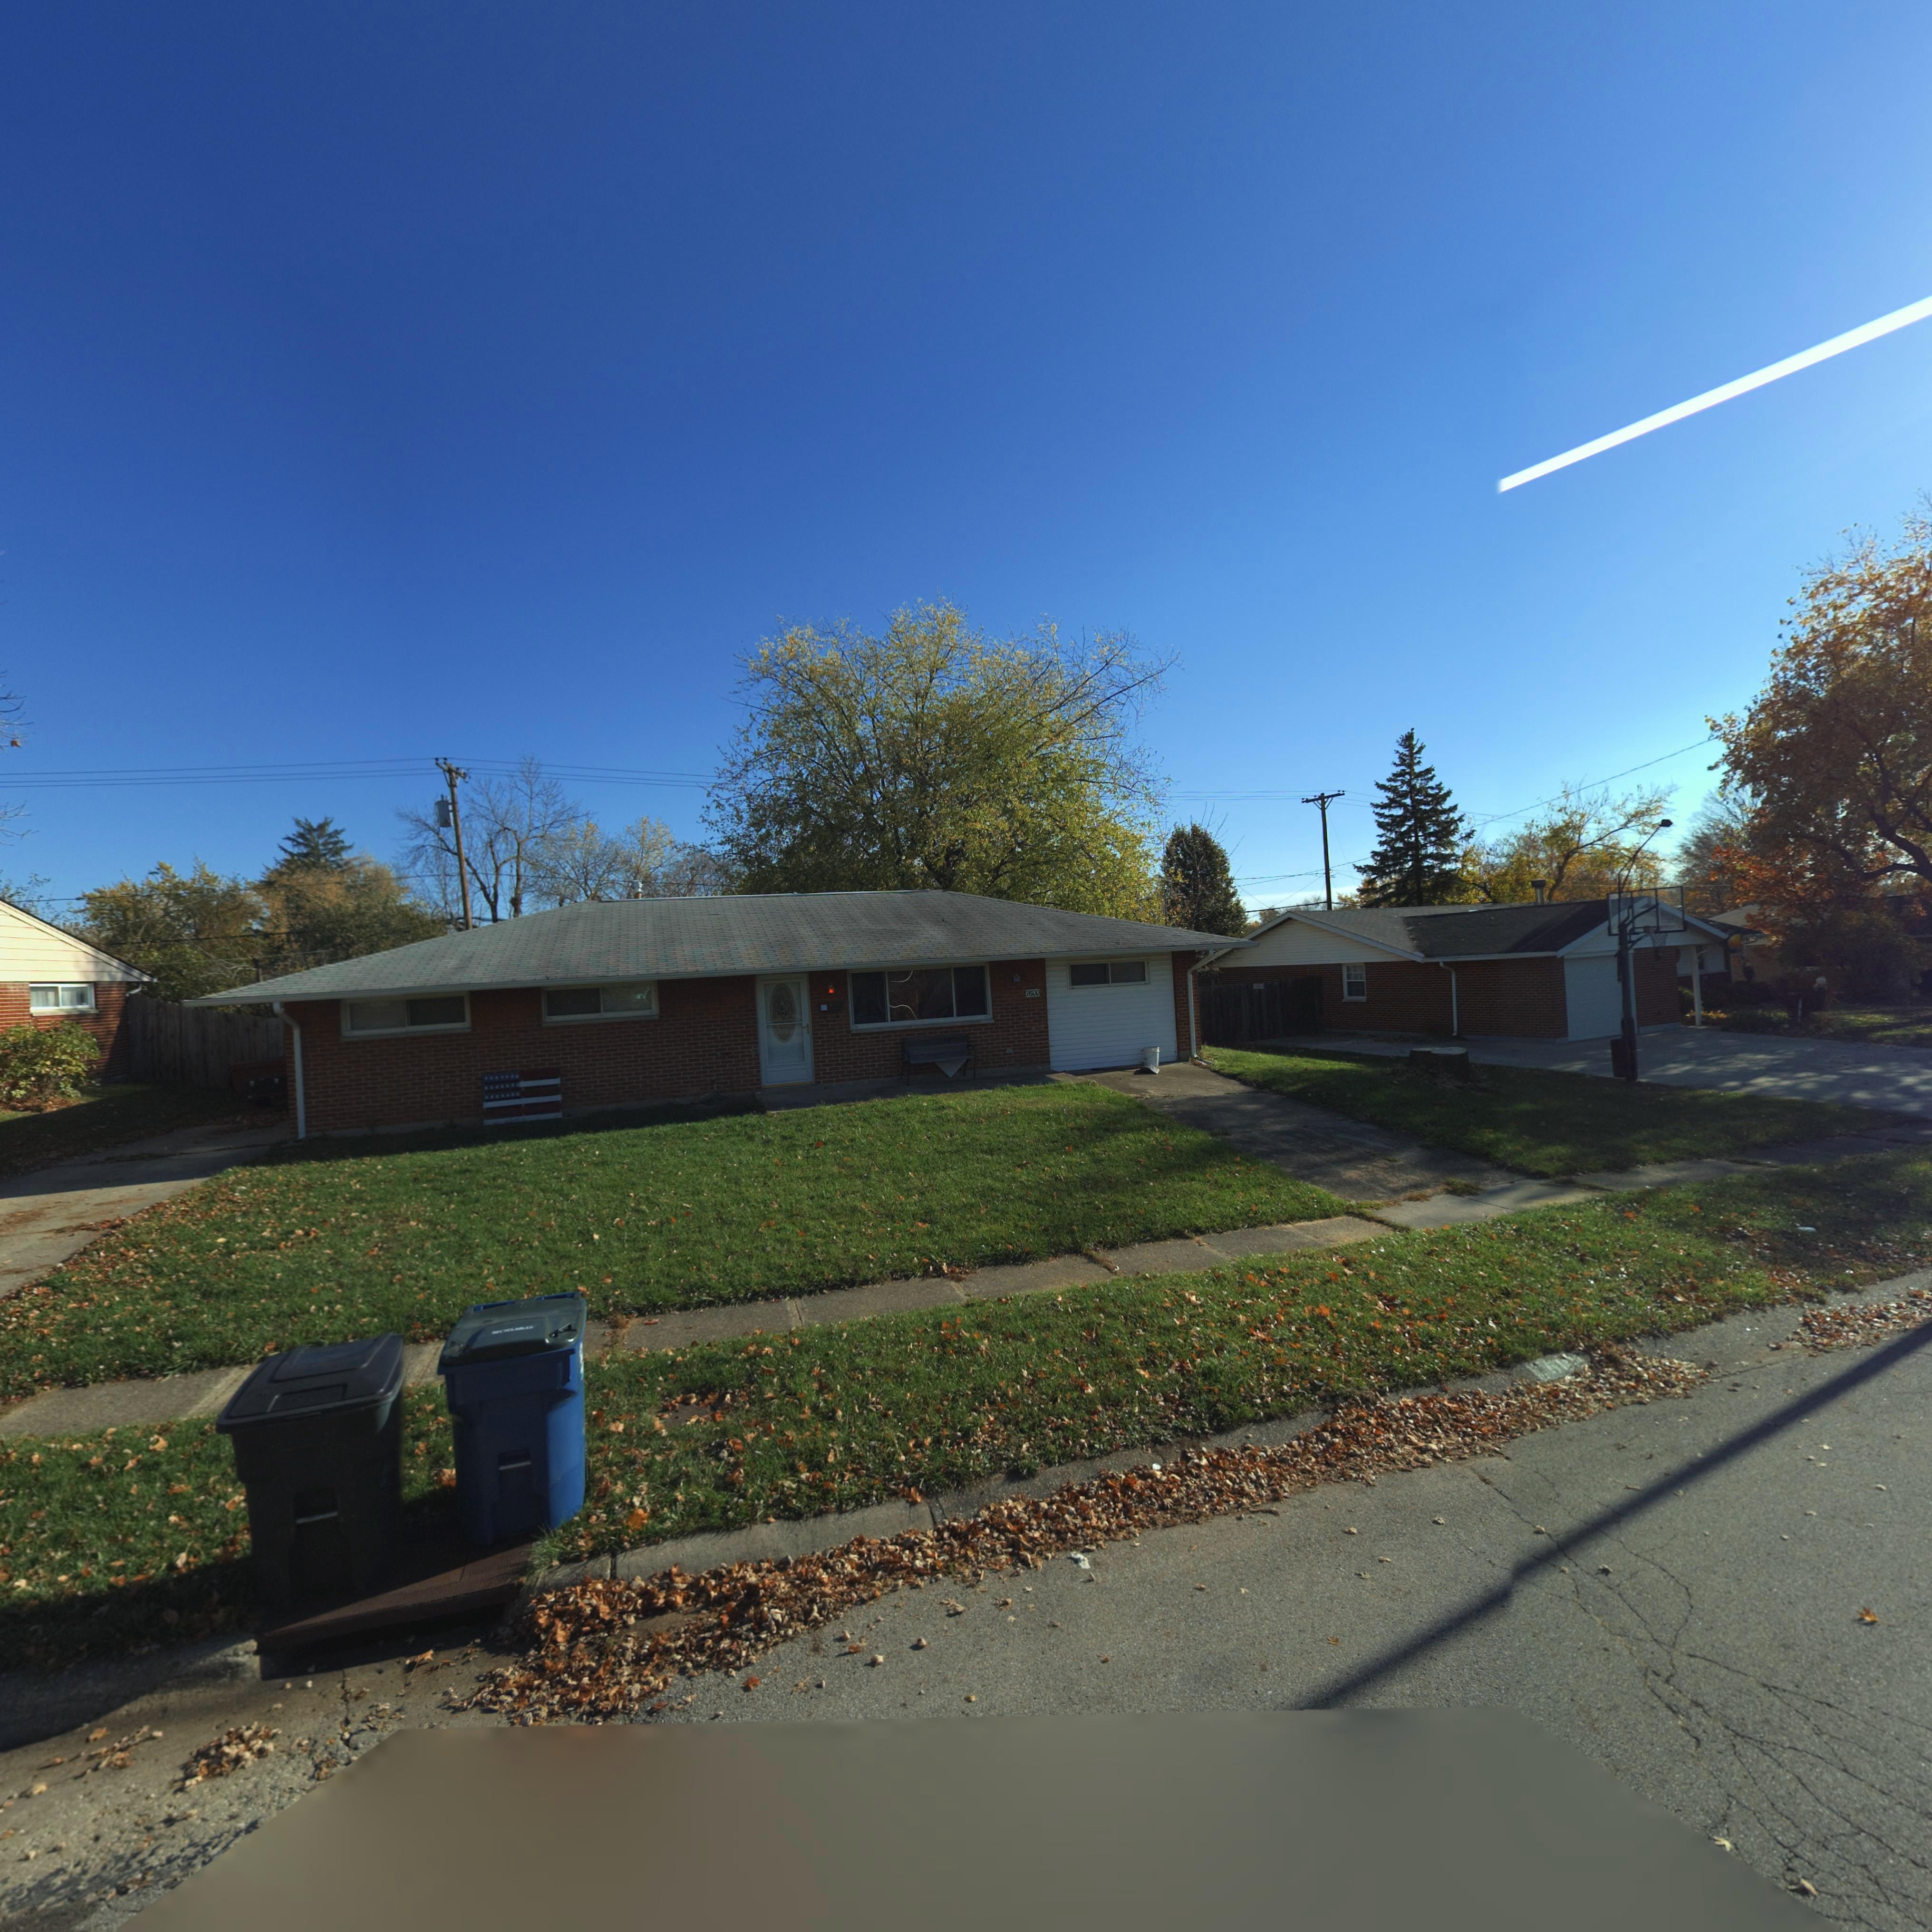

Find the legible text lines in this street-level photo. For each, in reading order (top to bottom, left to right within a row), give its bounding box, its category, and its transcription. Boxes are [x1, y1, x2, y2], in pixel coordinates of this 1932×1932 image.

[1025, 988, 1041, 997] StreetNumber: 7600